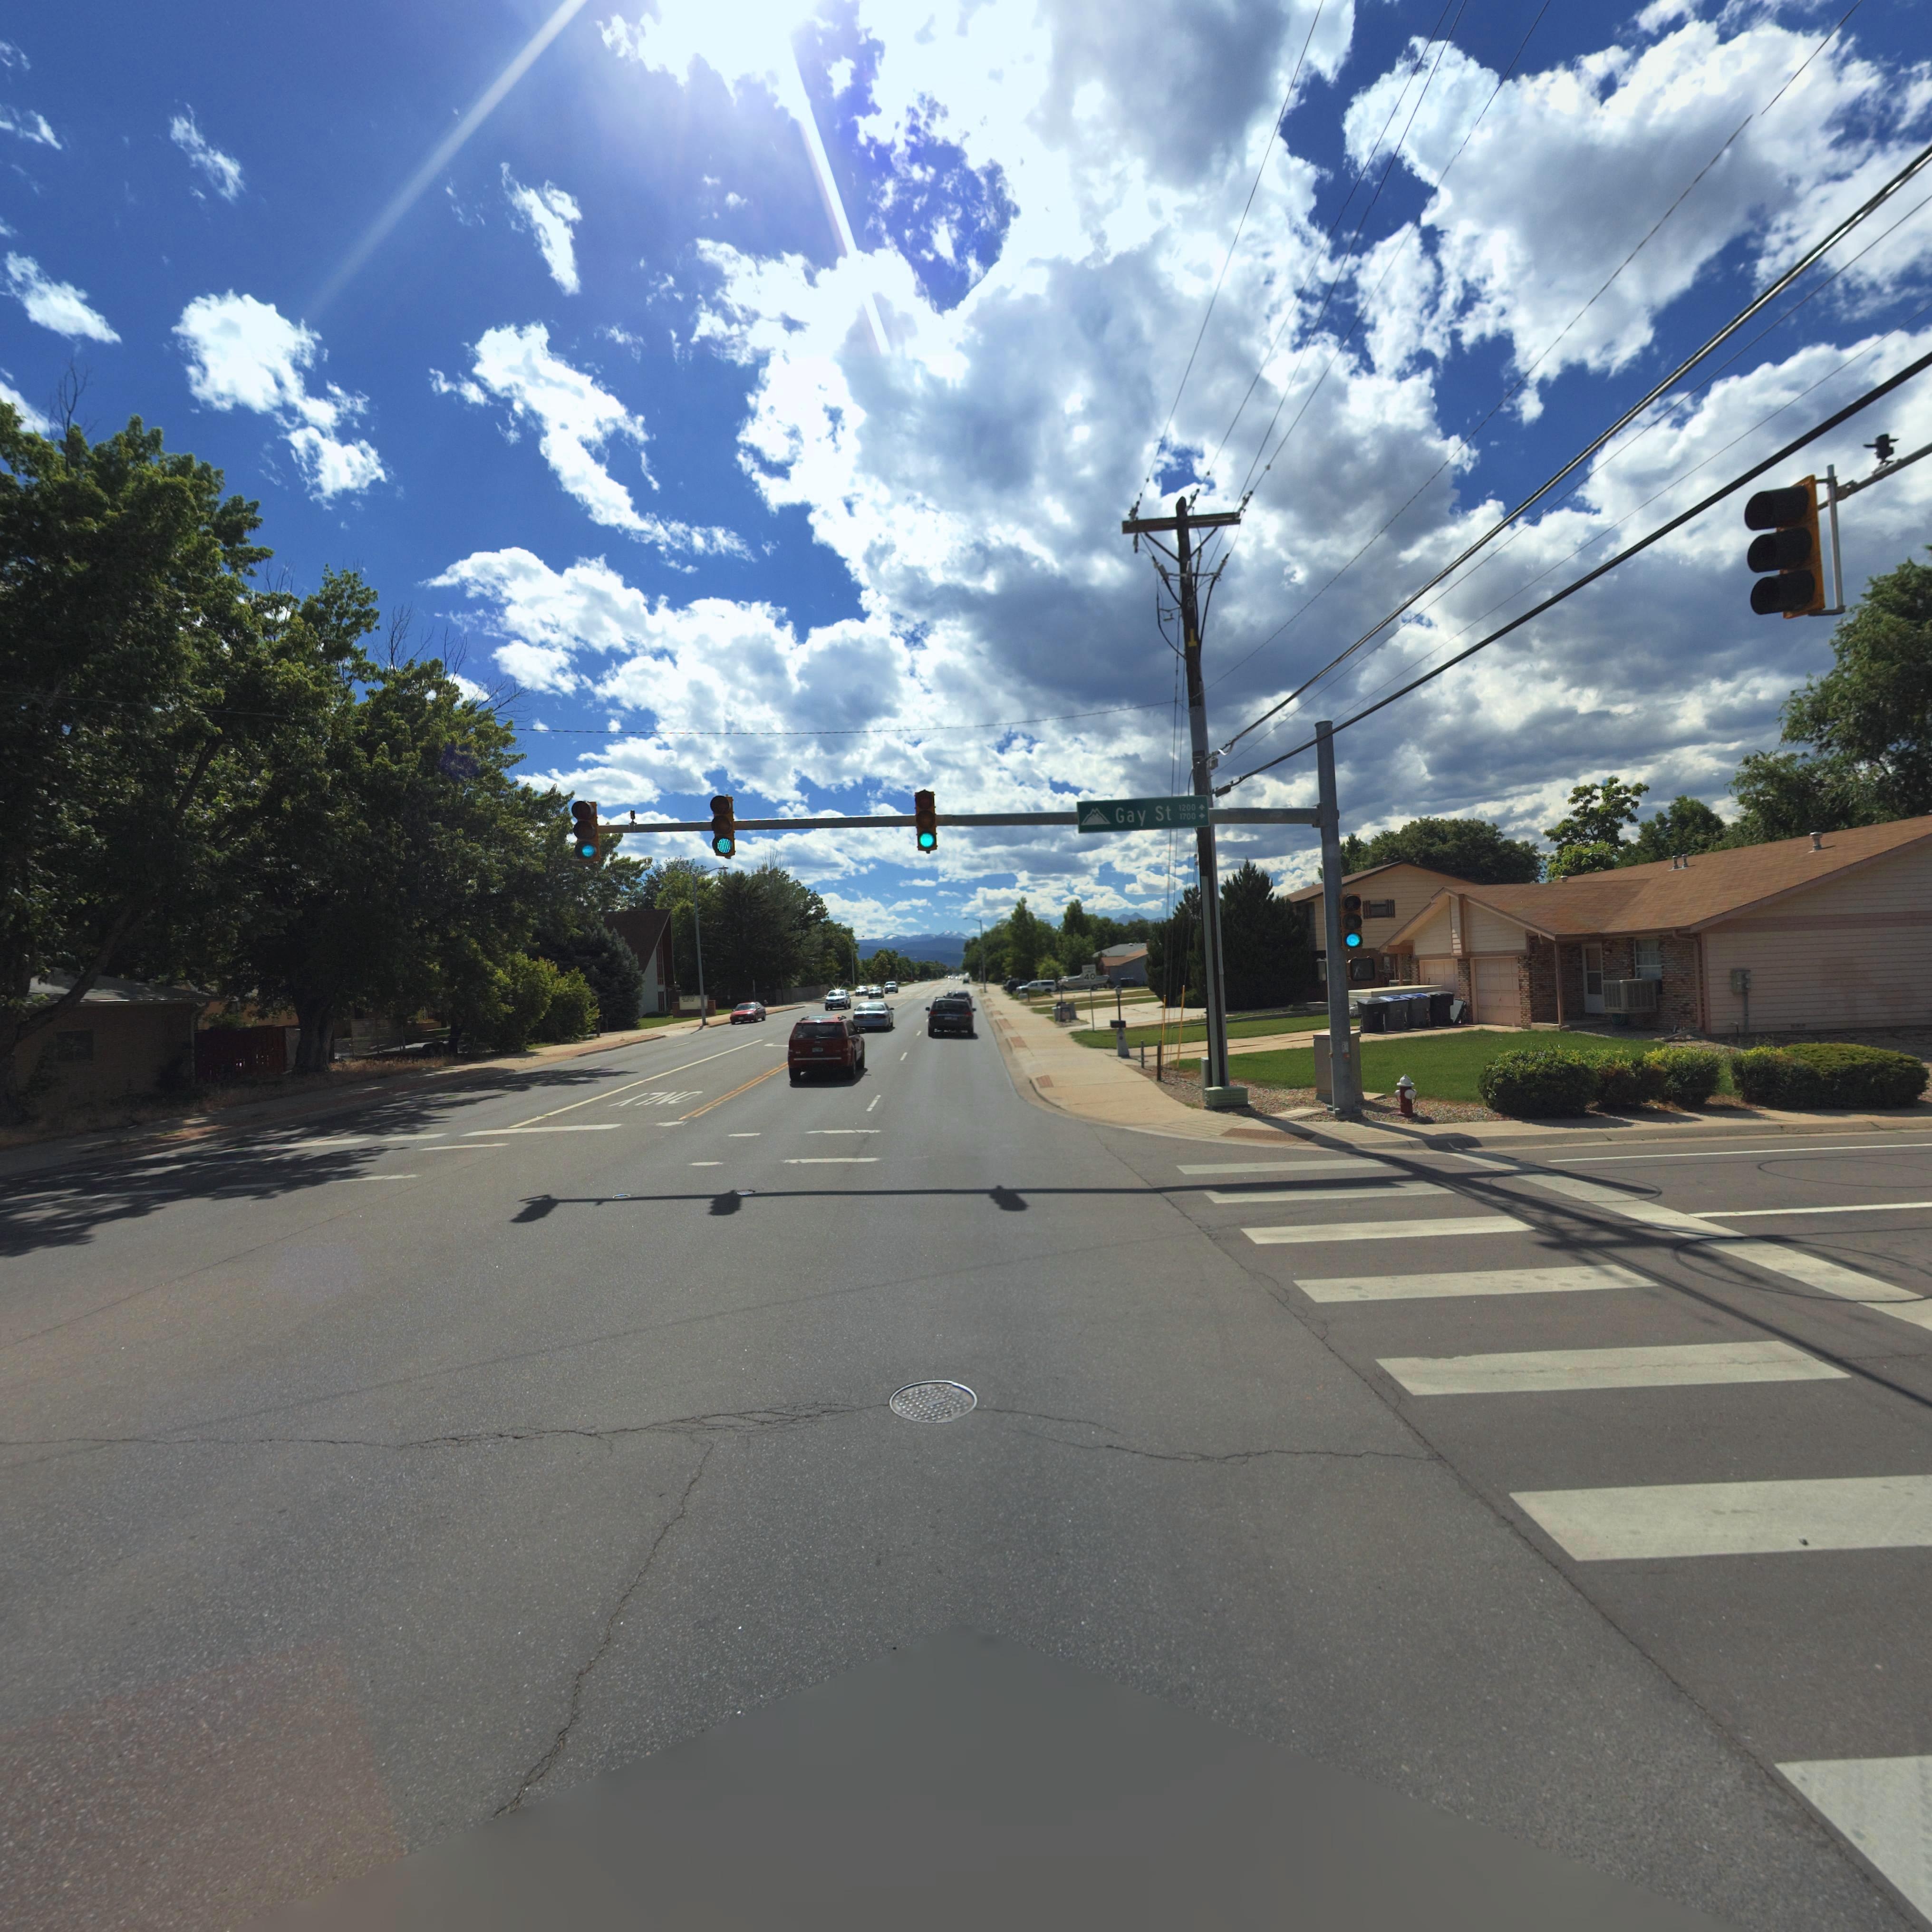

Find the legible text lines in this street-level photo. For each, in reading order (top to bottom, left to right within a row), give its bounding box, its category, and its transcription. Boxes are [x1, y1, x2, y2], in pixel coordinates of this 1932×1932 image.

[1179, 803, 1196, 811] StreetNumberRange: 1200
[1115, 804, 1172, 827] StreetName: Gay St
[1179, 812, 1205, 820] StreetNumberRange: 1700 ->